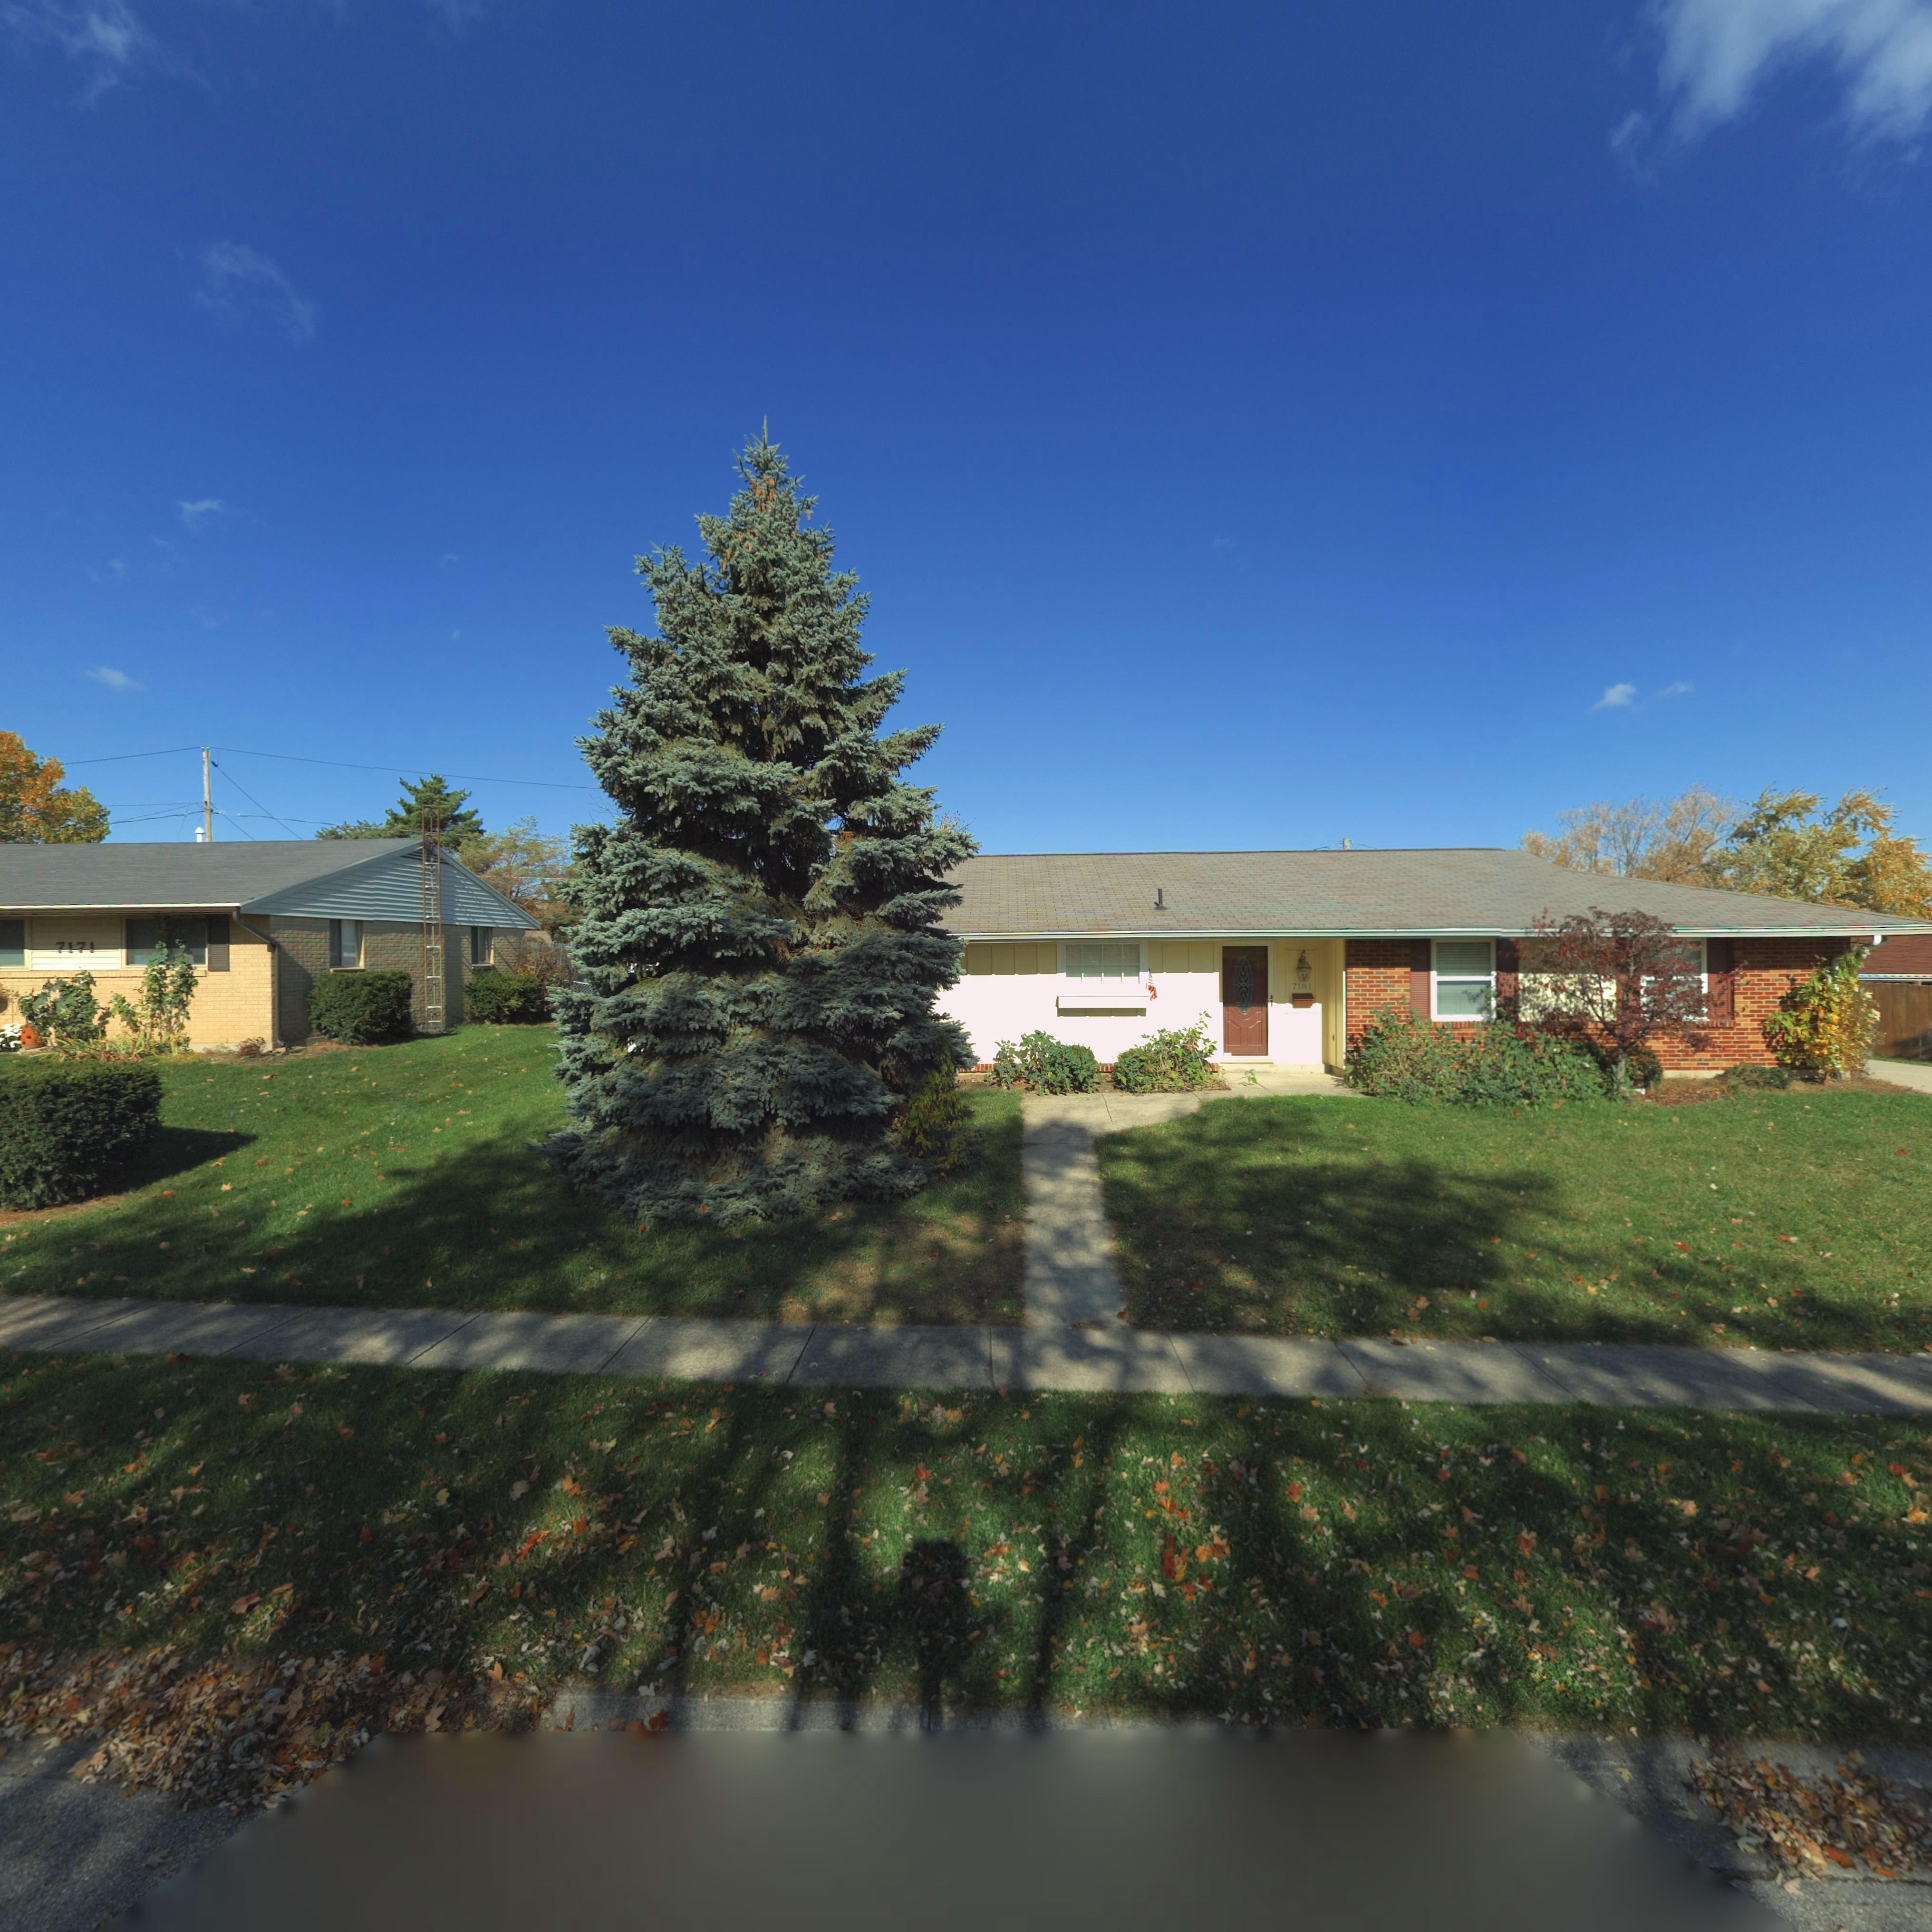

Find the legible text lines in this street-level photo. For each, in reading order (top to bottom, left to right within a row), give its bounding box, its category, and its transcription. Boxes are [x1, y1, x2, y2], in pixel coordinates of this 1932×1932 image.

[54, 940, 95, 955] StreetNumber: 7171
[1291, 982, 1312, 991] StreetNumber: 7181